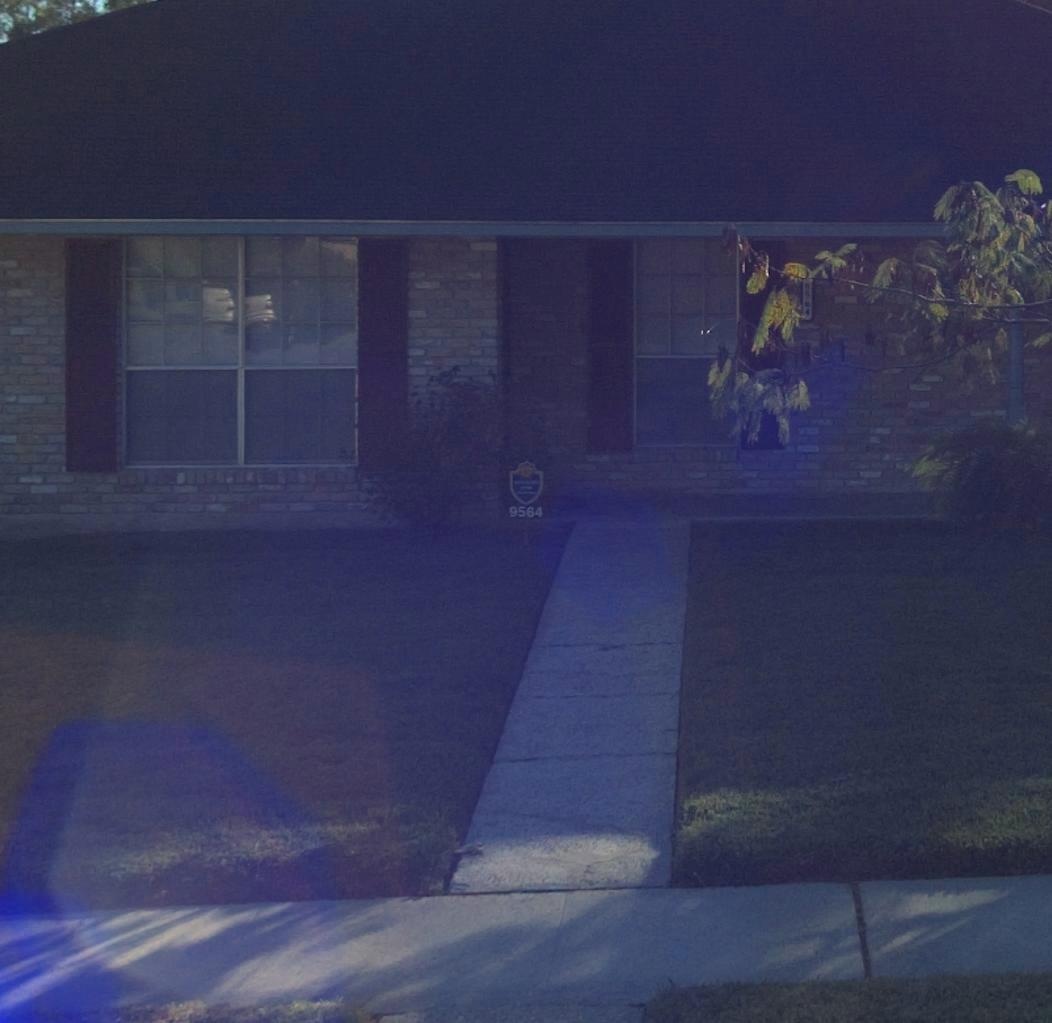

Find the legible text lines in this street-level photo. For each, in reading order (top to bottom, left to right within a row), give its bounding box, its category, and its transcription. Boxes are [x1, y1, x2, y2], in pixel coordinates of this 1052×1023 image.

[804, 281, 810, 316] StreetNumber: 9564
[509, 506, 544, 518] StreetNumber: 9564